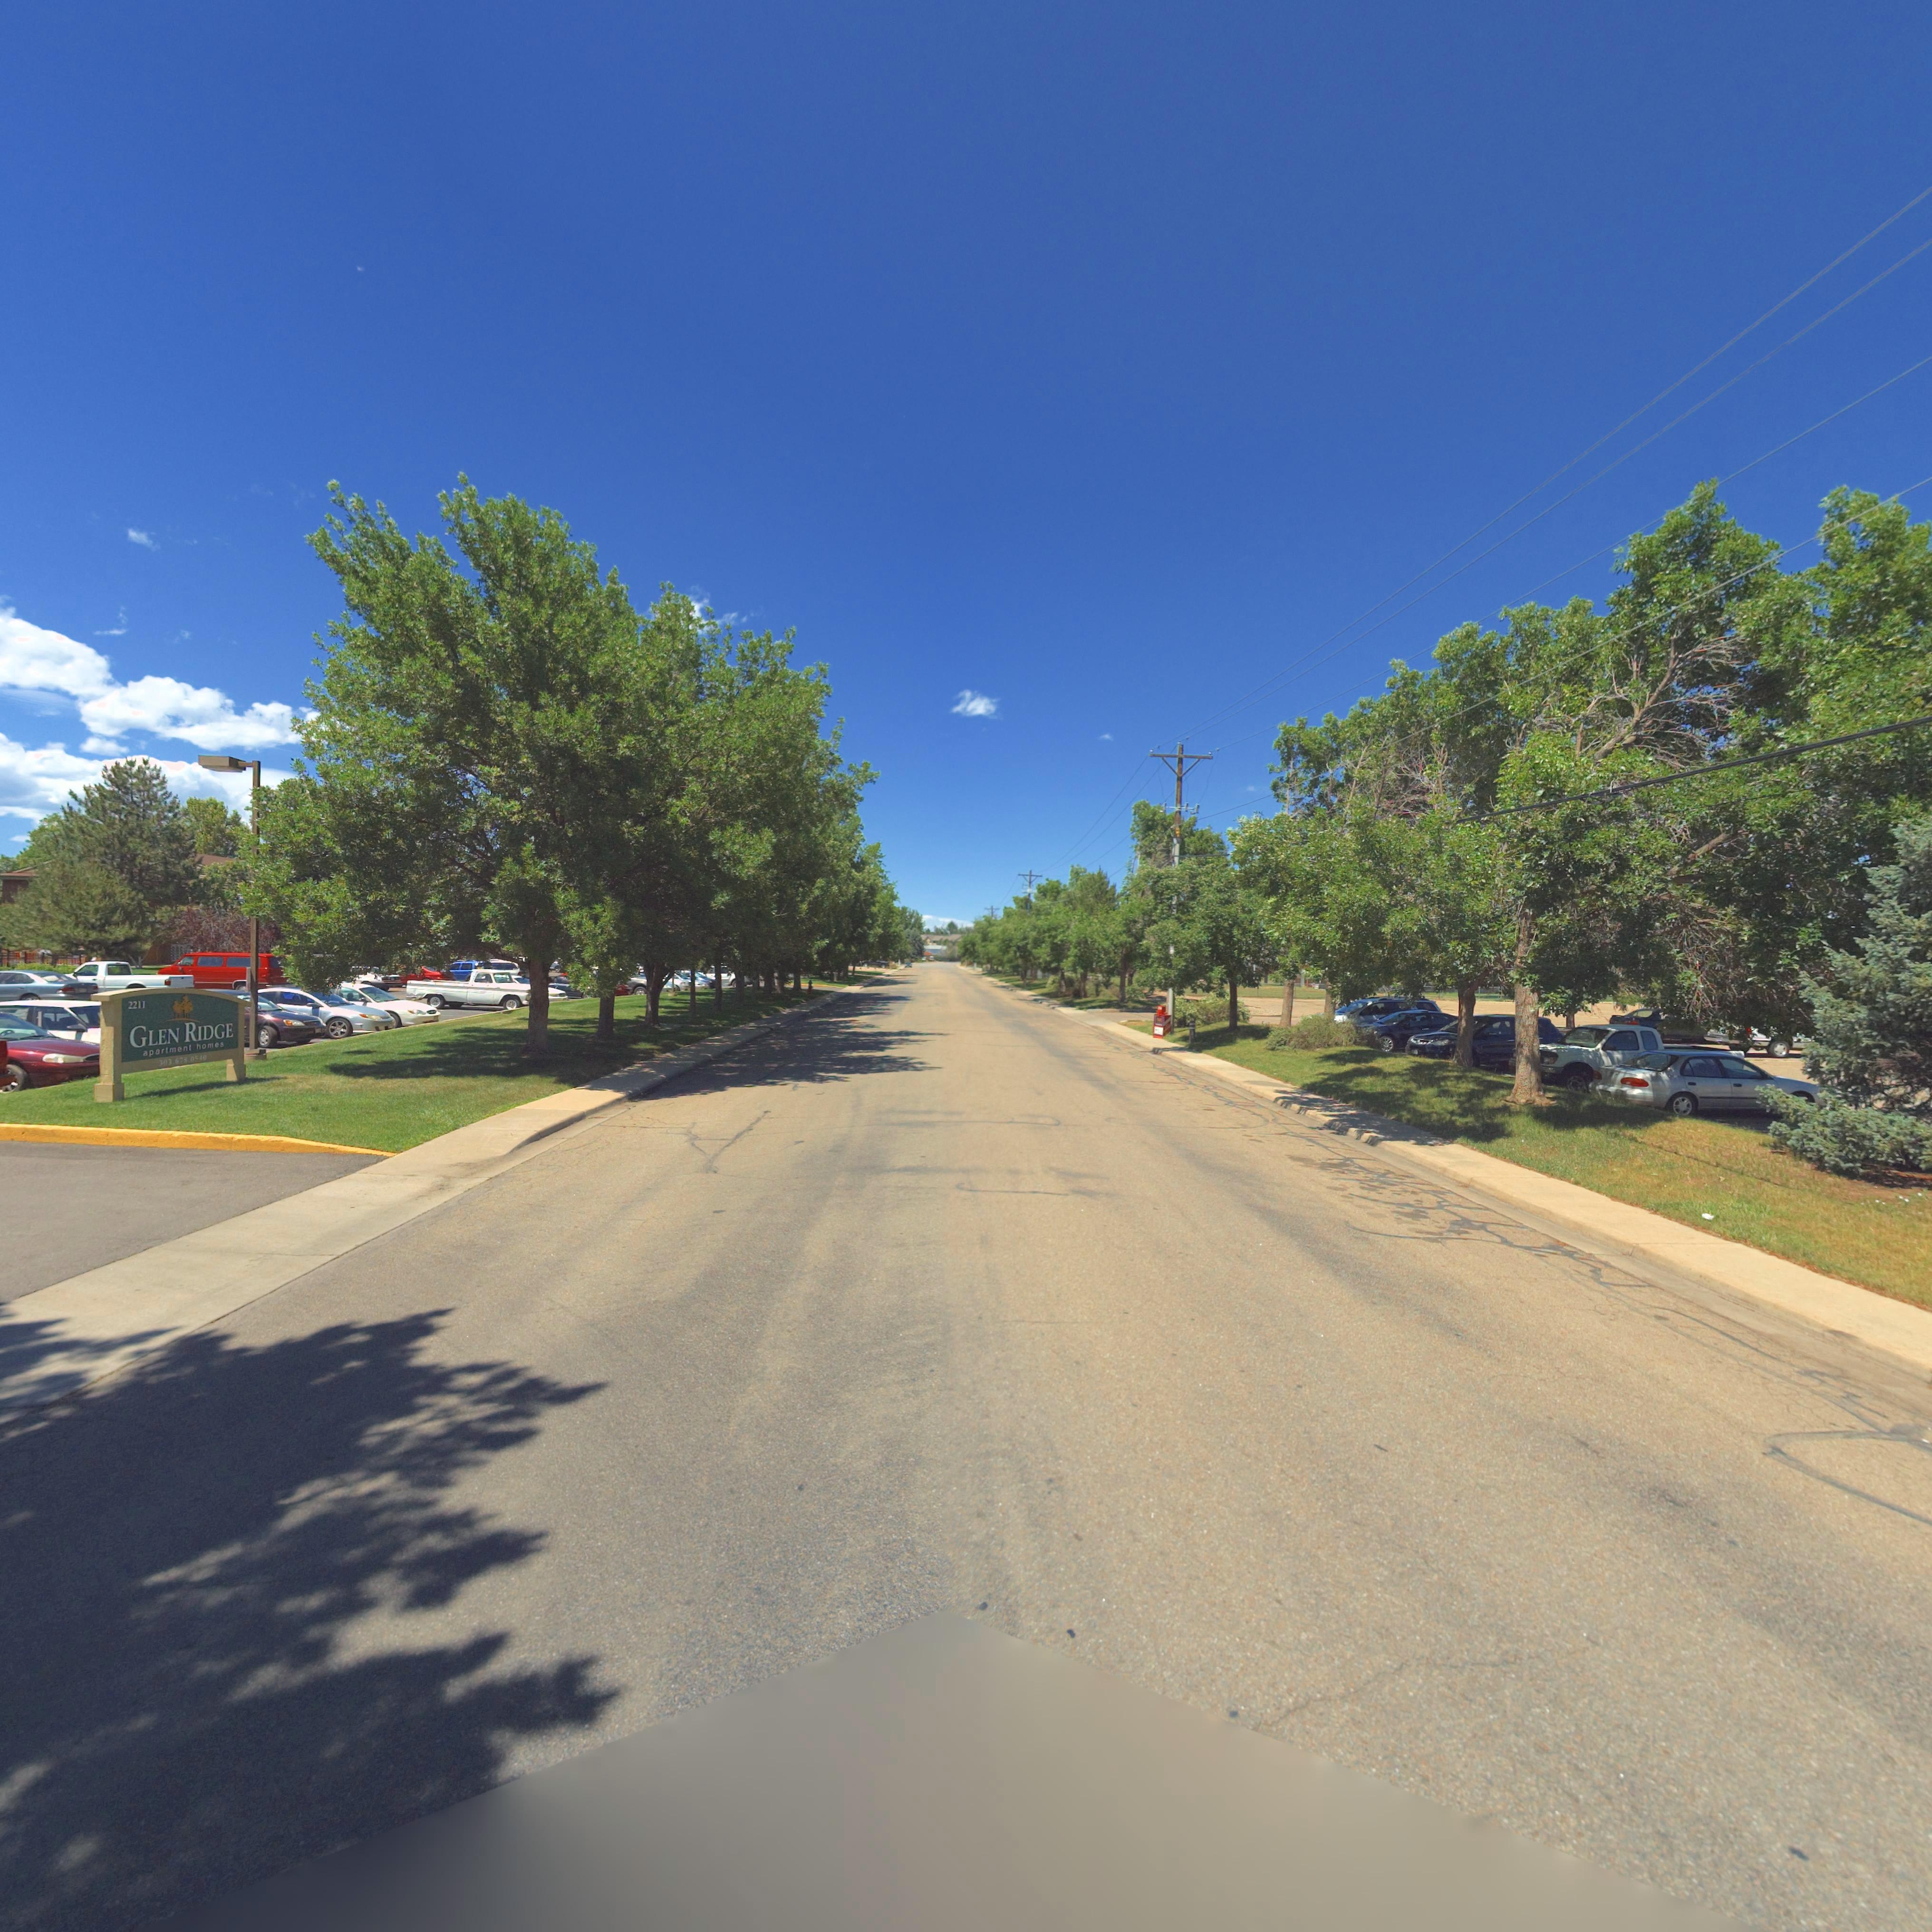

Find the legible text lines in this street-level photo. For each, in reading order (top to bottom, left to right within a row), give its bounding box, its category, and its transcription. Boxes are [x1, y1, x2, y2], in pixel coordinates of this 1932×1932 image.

[127, 999, 146, 1009] StreetNumber: 2211
[127, 1021, 234, 1049] BusinessName: GLEN RIDGE